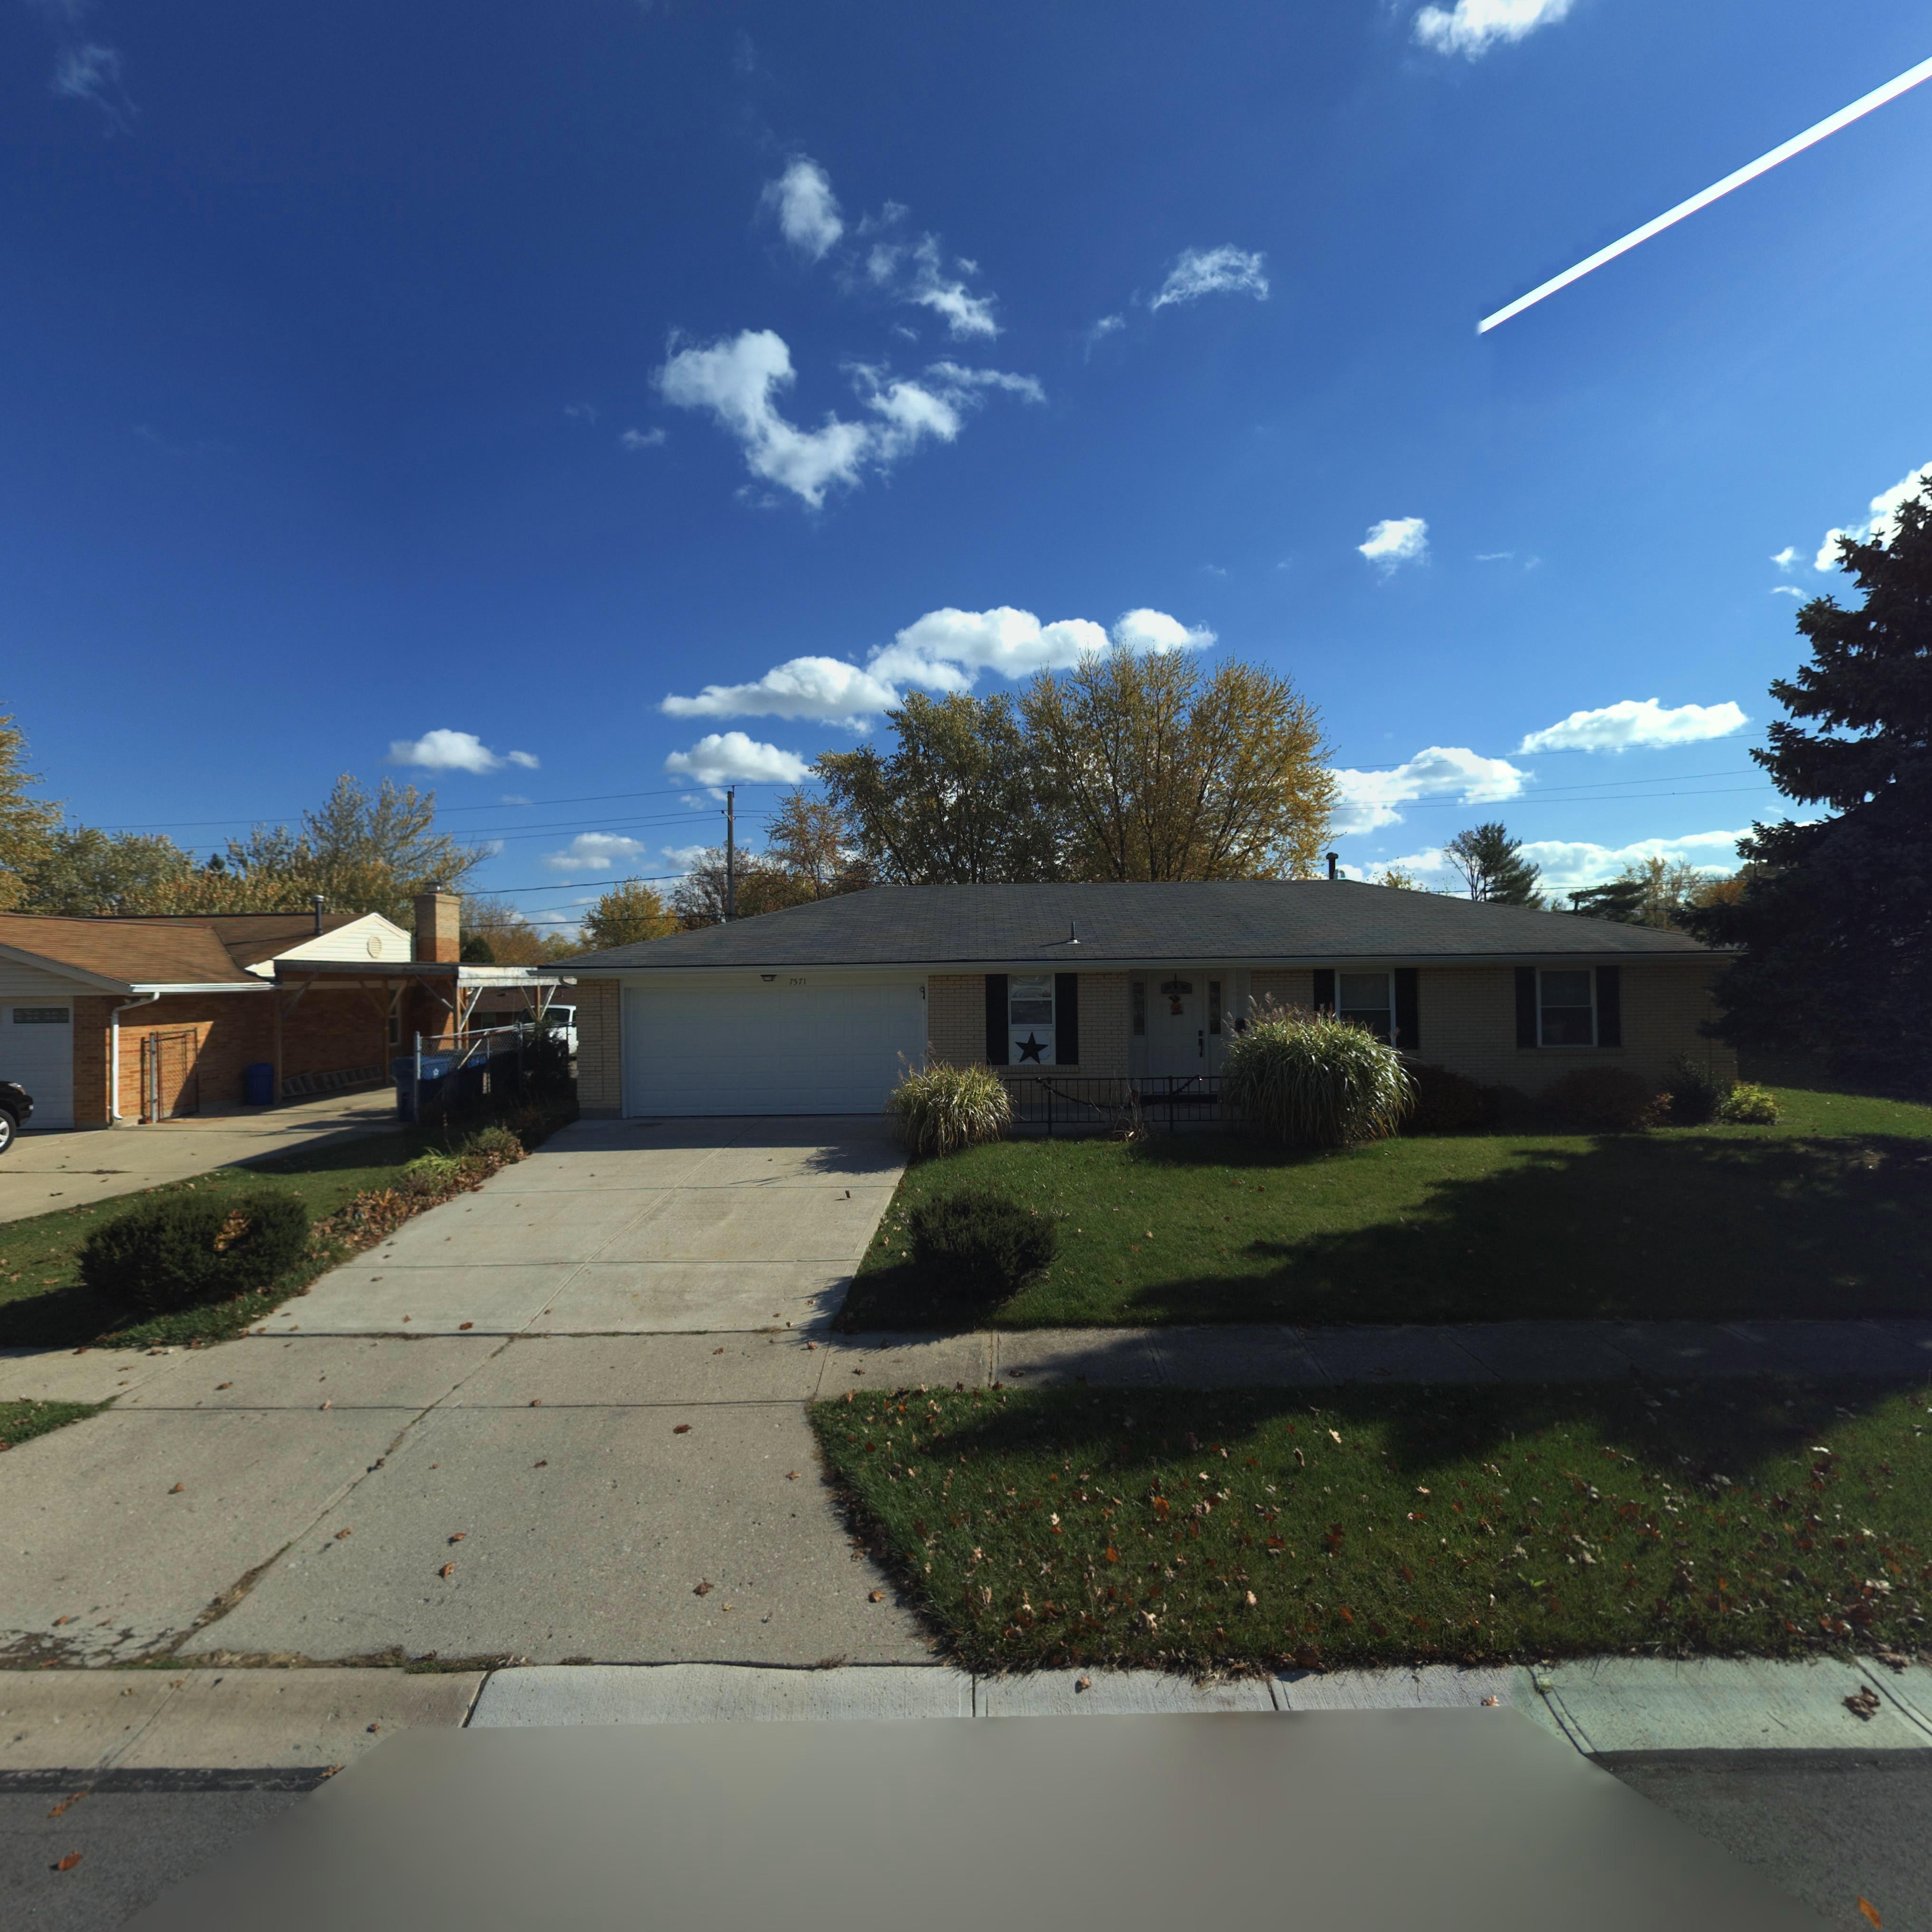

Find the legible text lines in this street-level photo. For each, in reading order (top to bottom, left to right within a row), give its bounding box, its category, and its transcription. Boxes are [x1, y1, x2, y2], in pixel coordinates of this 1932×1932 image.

[788, 977, 807, 986] StreetNumber: 7571